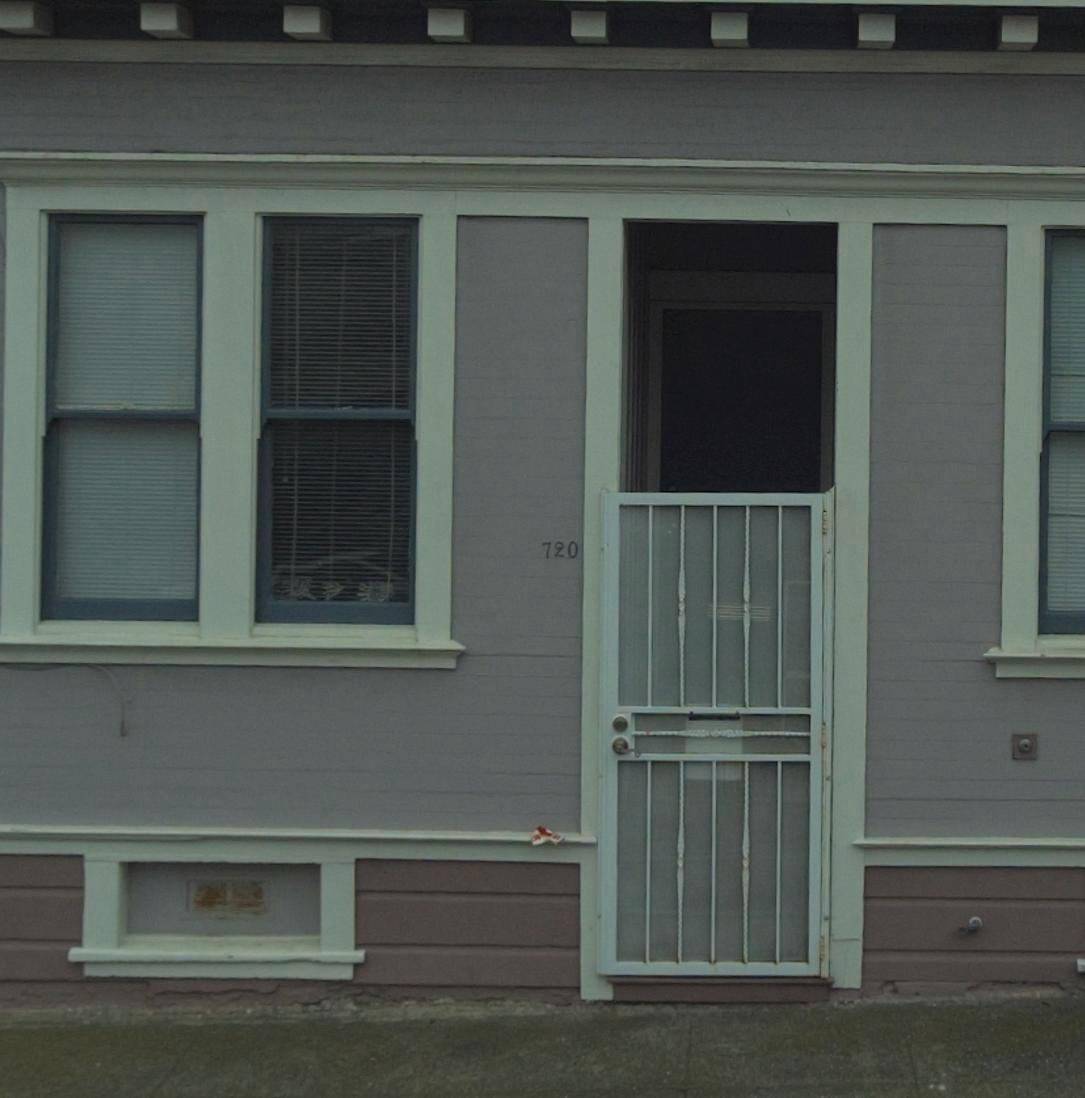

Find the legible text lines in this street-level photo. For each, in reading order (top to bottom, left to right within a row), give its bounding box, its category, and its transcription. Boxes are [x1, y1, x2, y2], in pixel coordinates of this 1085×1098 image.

[539, 539, 581, 561] StreetNumber: 720